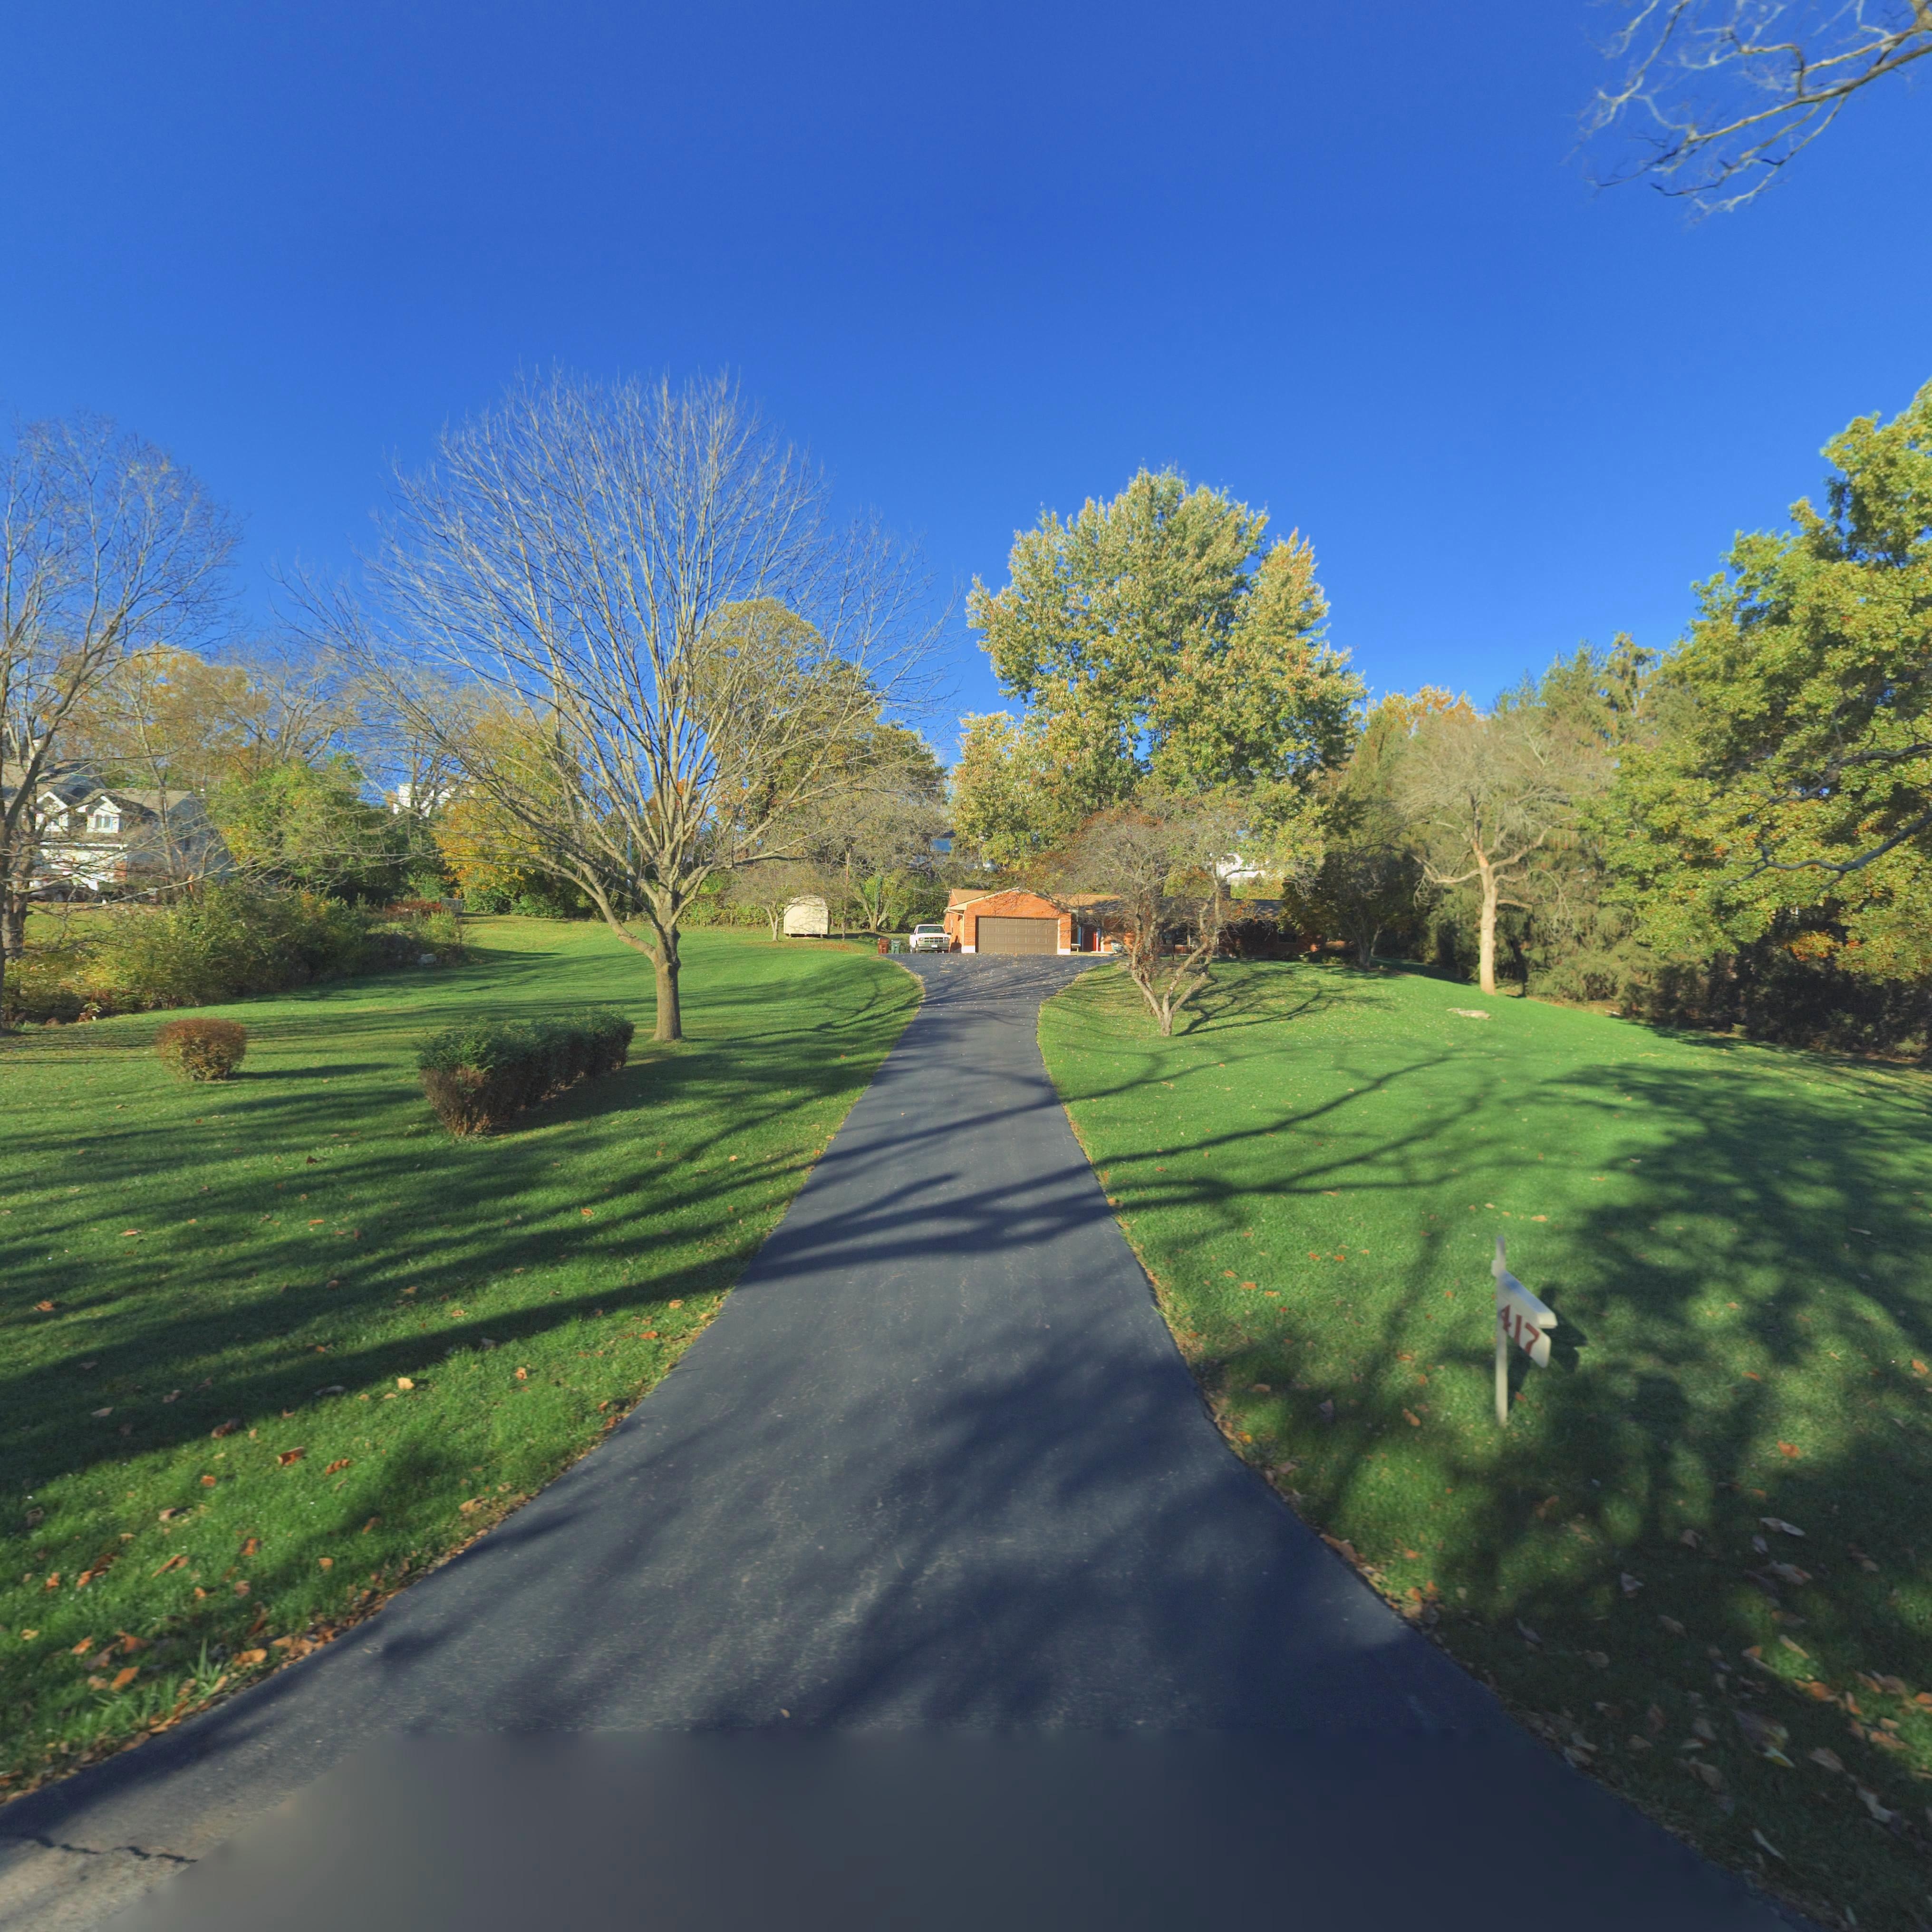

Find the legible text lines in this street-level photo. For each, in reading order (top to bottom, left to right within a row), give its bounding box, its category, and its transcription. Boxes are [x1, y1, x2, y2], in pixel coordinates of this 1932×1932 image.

[1496, 1303, 1542, 1358] StreetNumber: 417